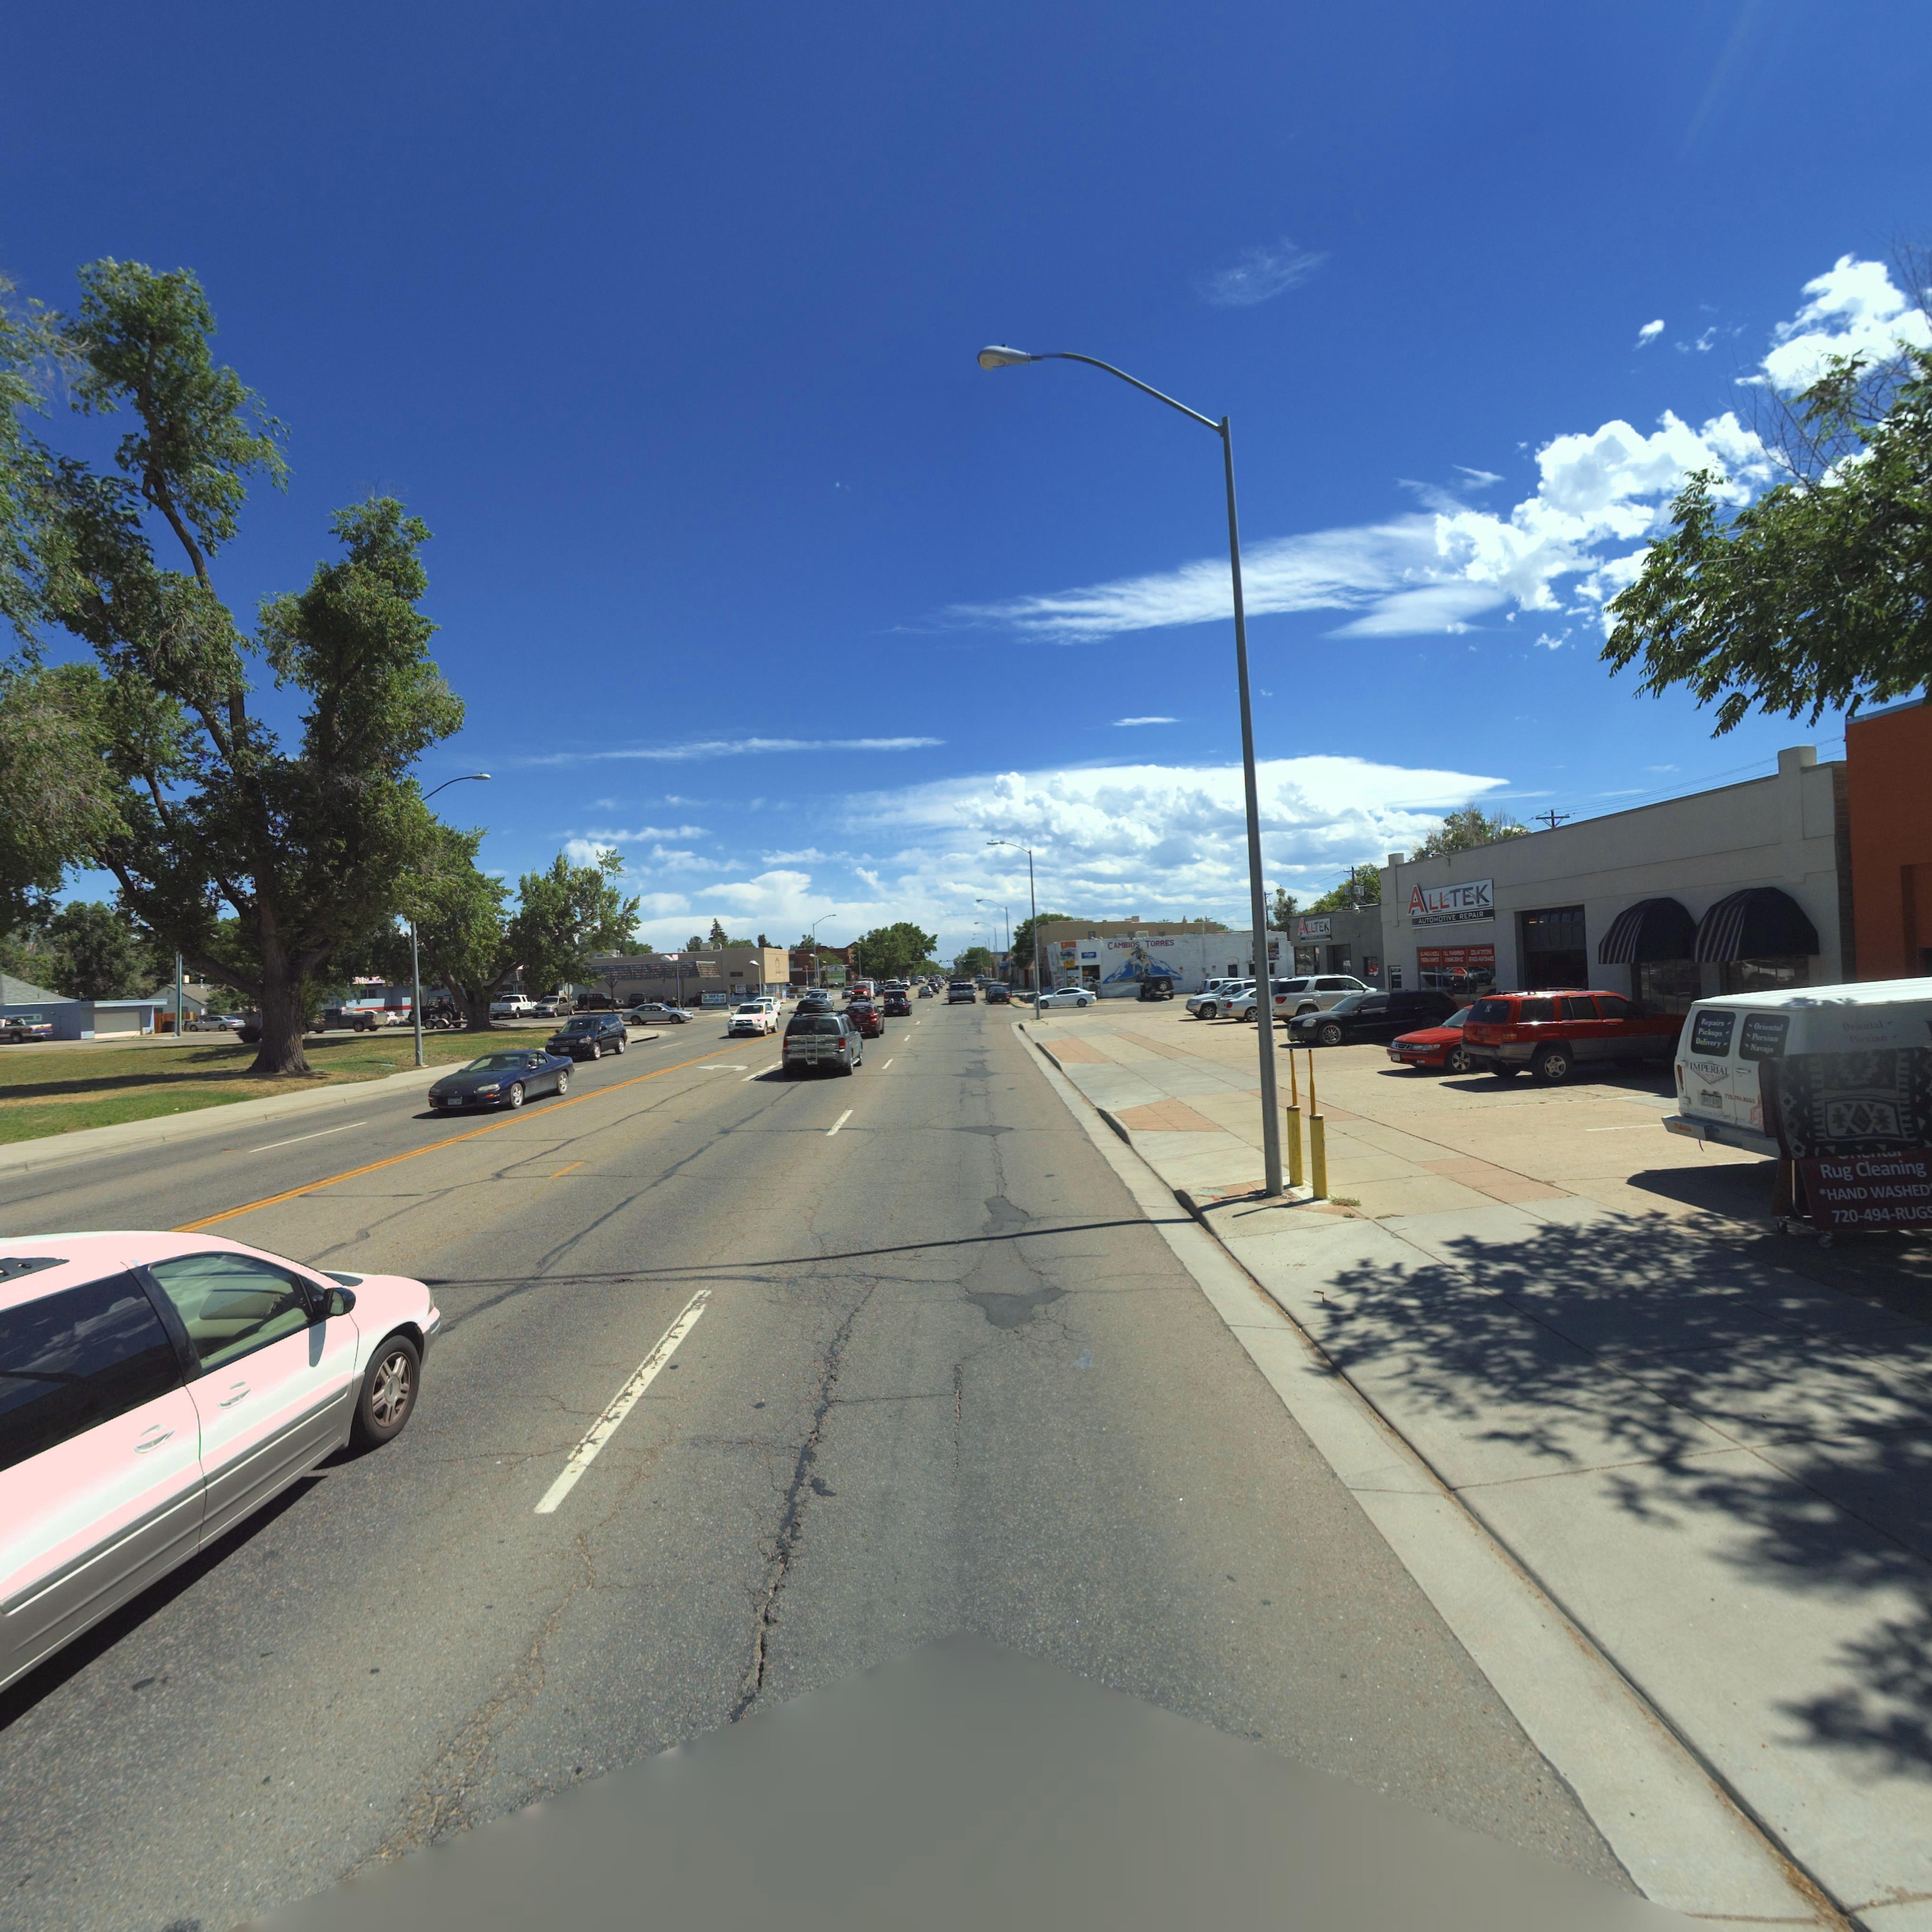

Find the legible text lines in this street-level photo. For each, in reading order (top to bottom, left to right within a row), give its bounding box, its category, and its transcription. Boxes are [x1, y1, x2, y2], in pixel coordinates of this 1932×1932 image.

[1407, 883, 1490, 916] BusinessName: ALLTEK
[1297, 917, 1329, 936] BusinessName: ALLTEK
[1107, 939, 1174, 950] BusinessName: CAMBIOS TORRES
[703, 998, 724, 1002] BusinessName: **FFLER CO
[709, 994, 719, 998] BusinessName: **N'S